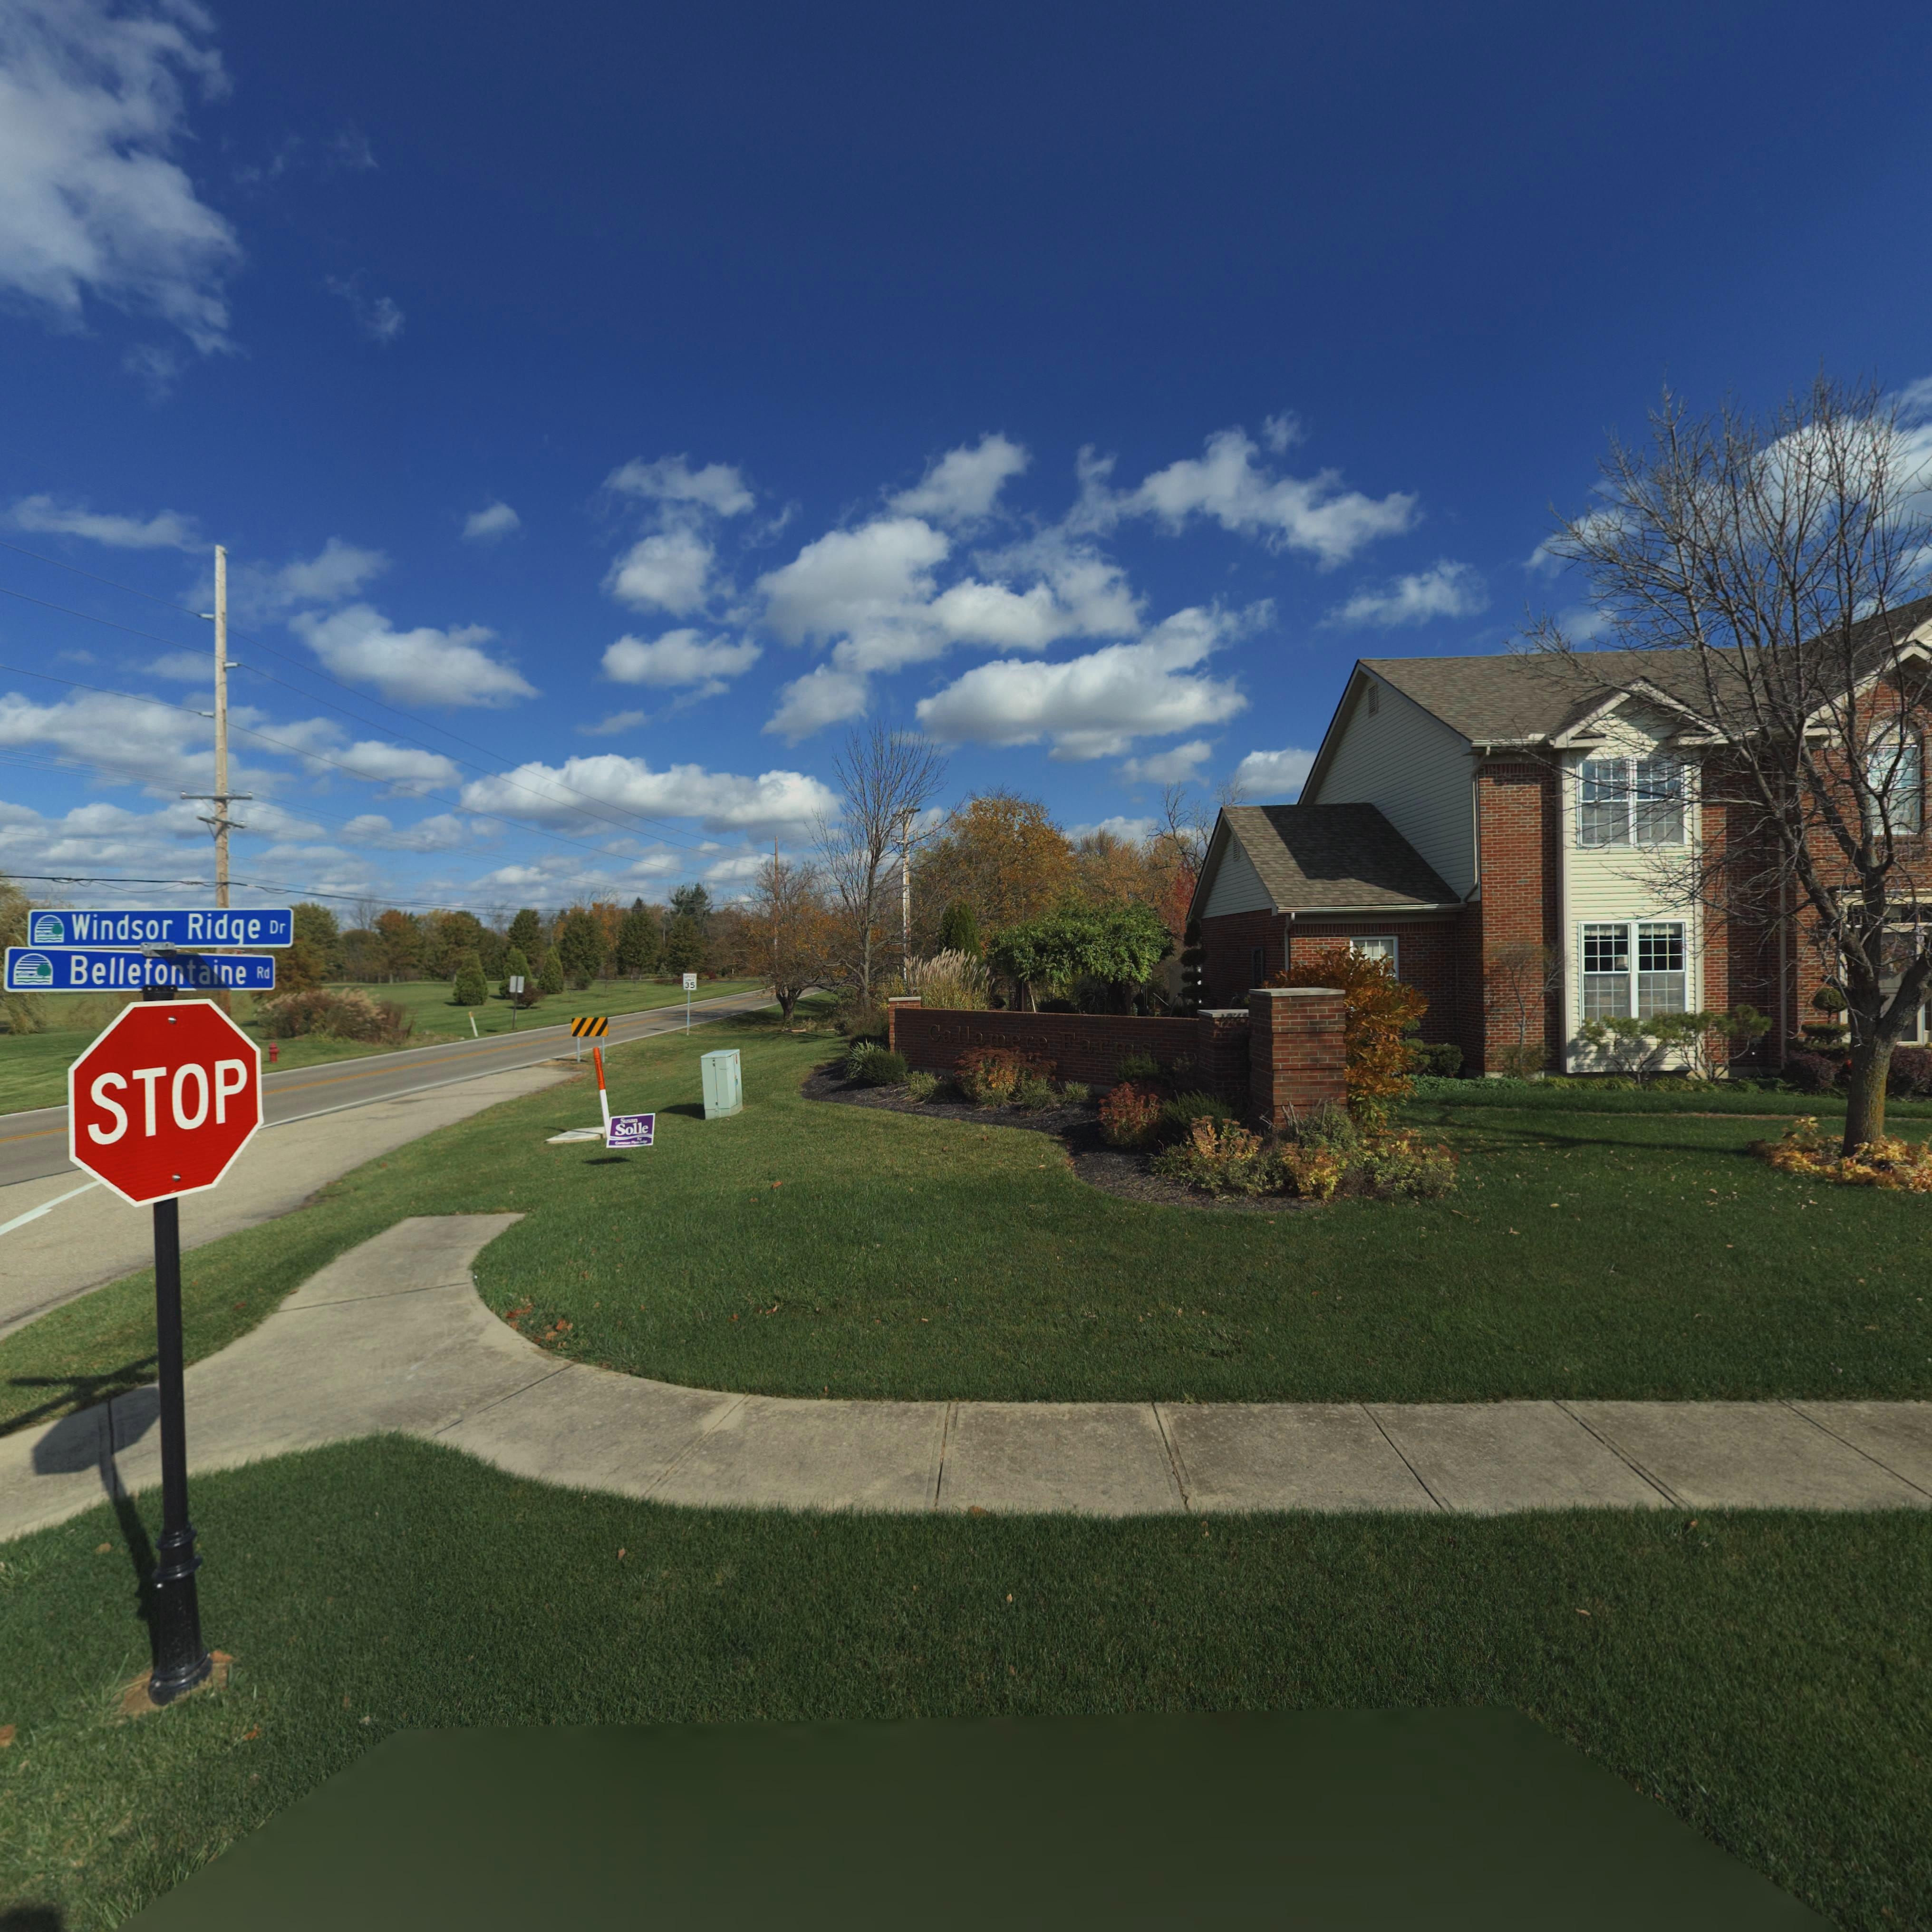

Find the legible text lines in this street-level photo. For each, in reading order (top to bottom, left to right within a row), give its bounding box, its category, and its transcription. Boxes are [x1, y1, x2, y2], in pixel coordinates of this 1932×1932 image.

[71, 912, 289, 947] StreetName: Windsor Ridge Dr
[68, 953, 271, 986] StreetName: Bellefontaine Rd